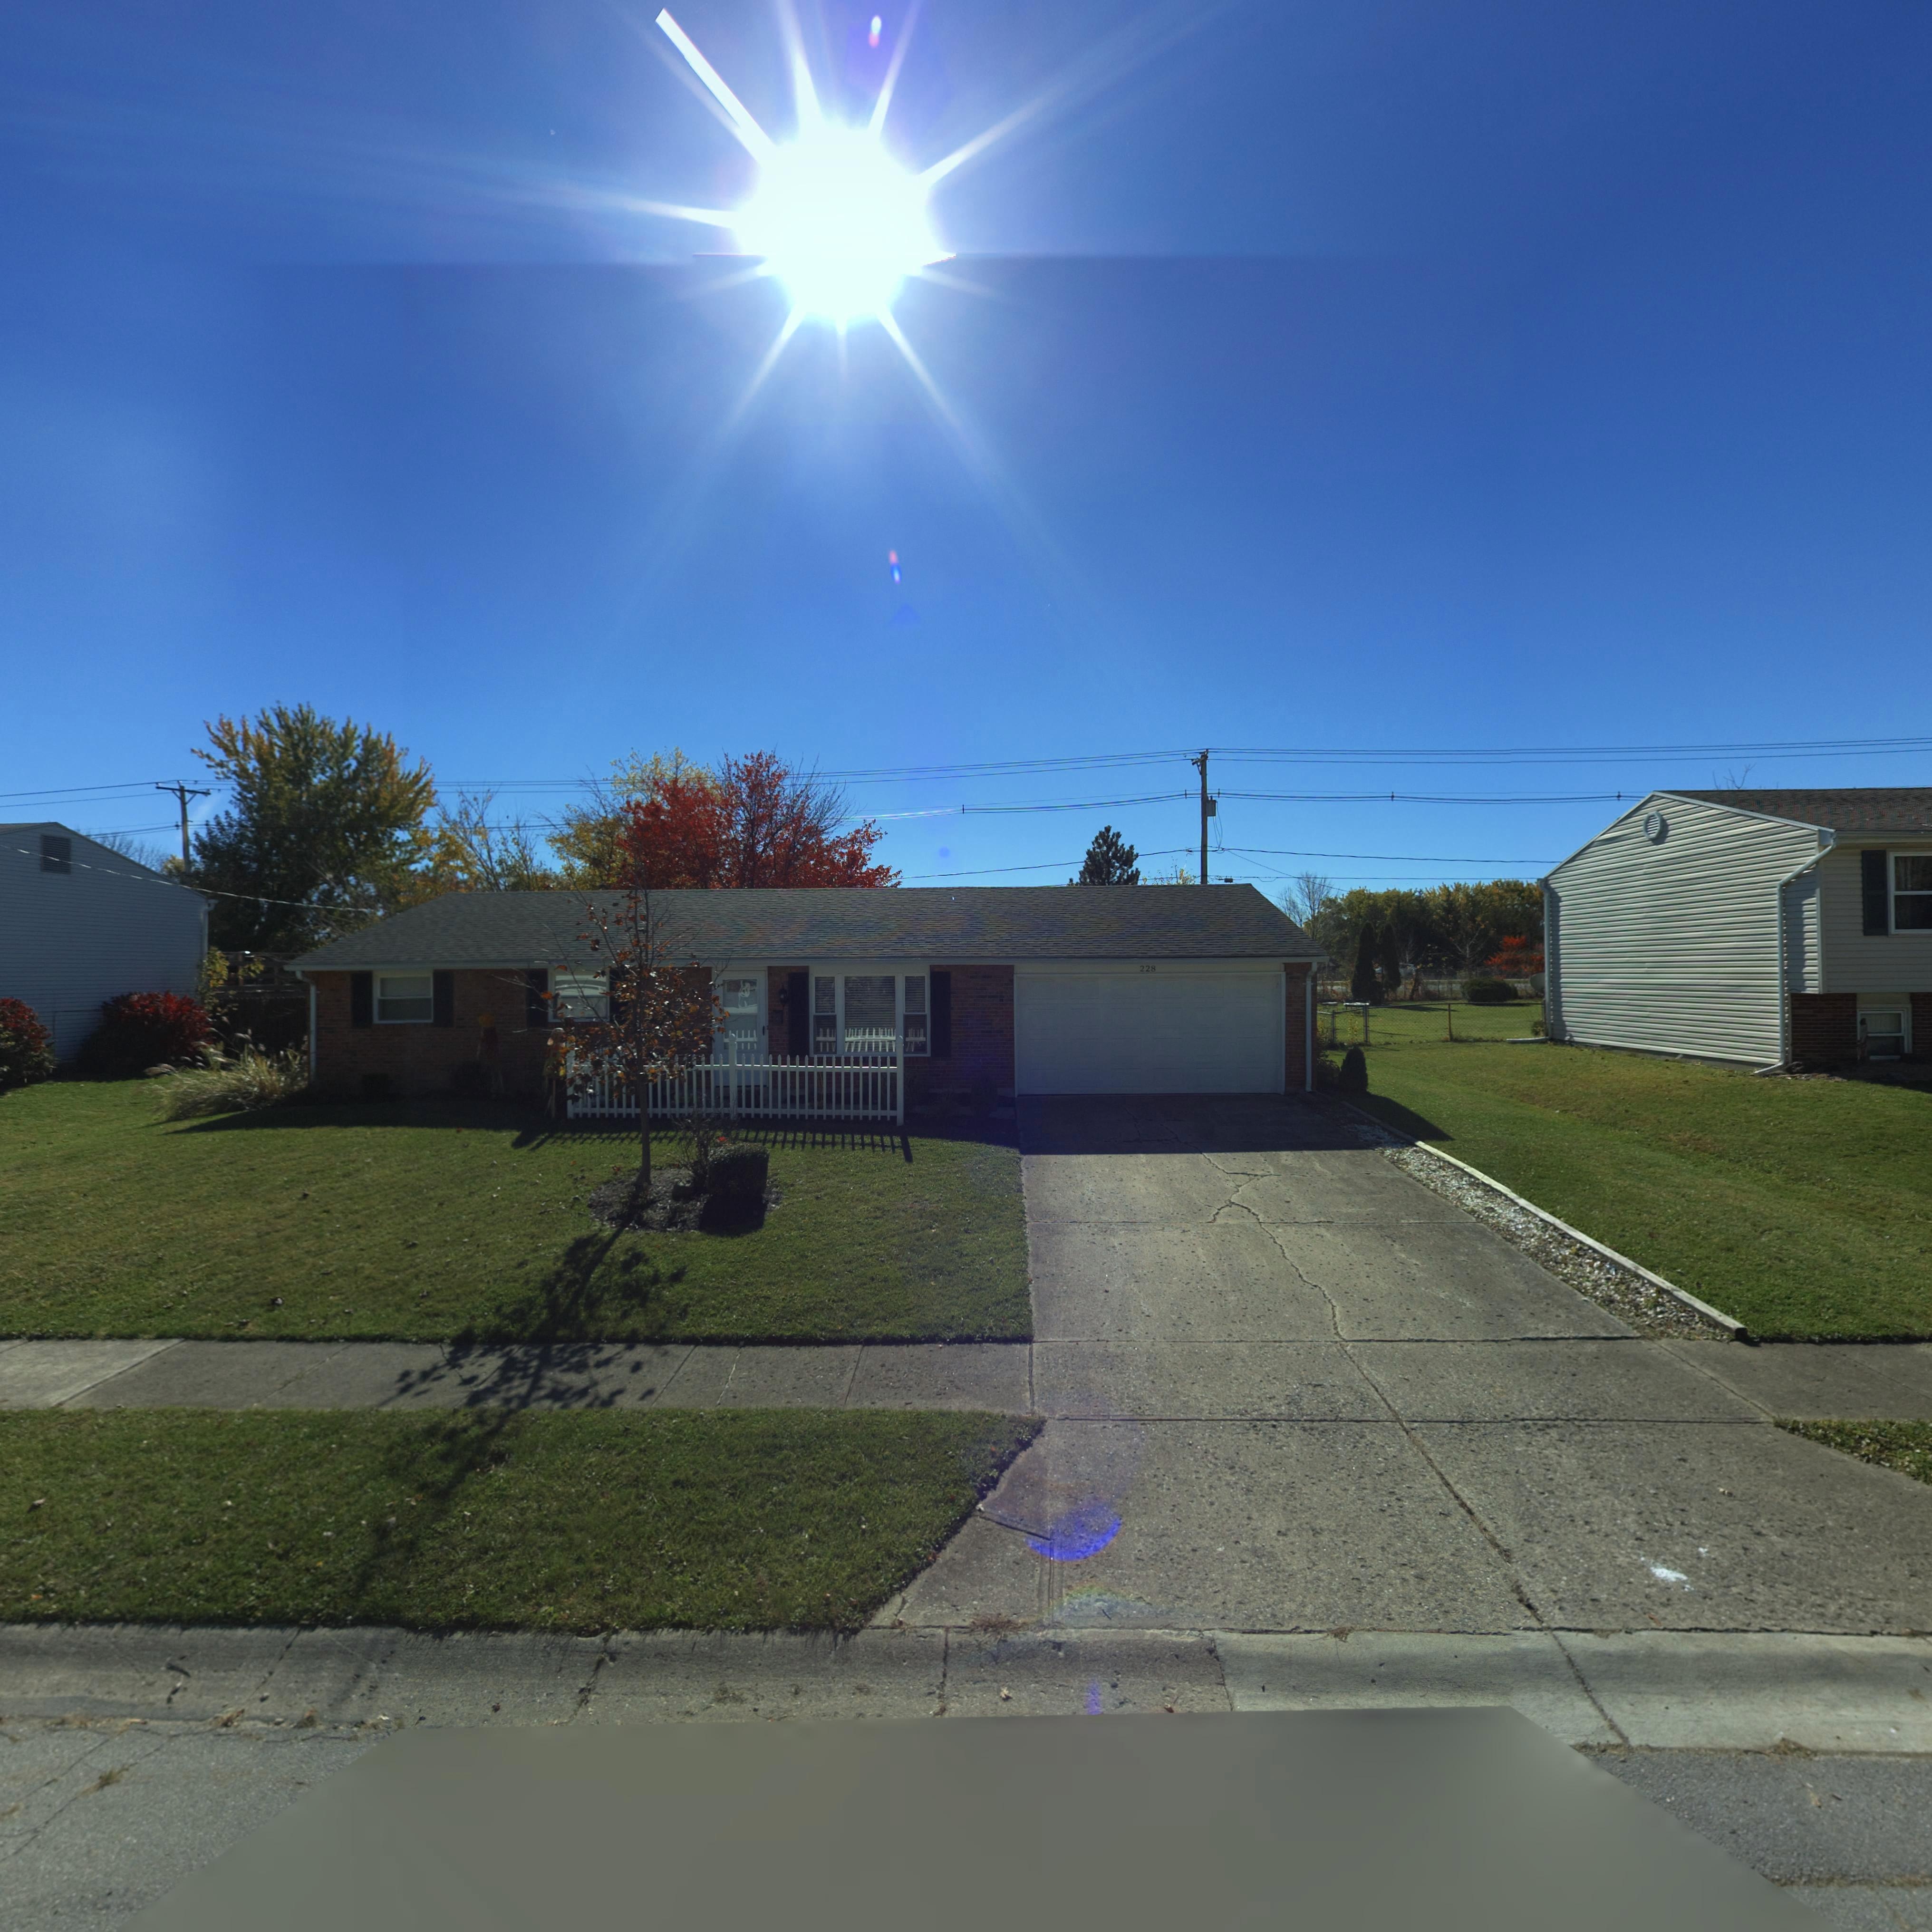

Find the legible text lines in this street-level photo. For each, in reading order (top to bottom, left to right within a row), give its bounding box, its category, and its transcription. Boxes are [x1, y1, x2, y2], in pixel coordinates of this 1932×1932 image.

[1140, 965, 1156, 972] StreetNumber: 228